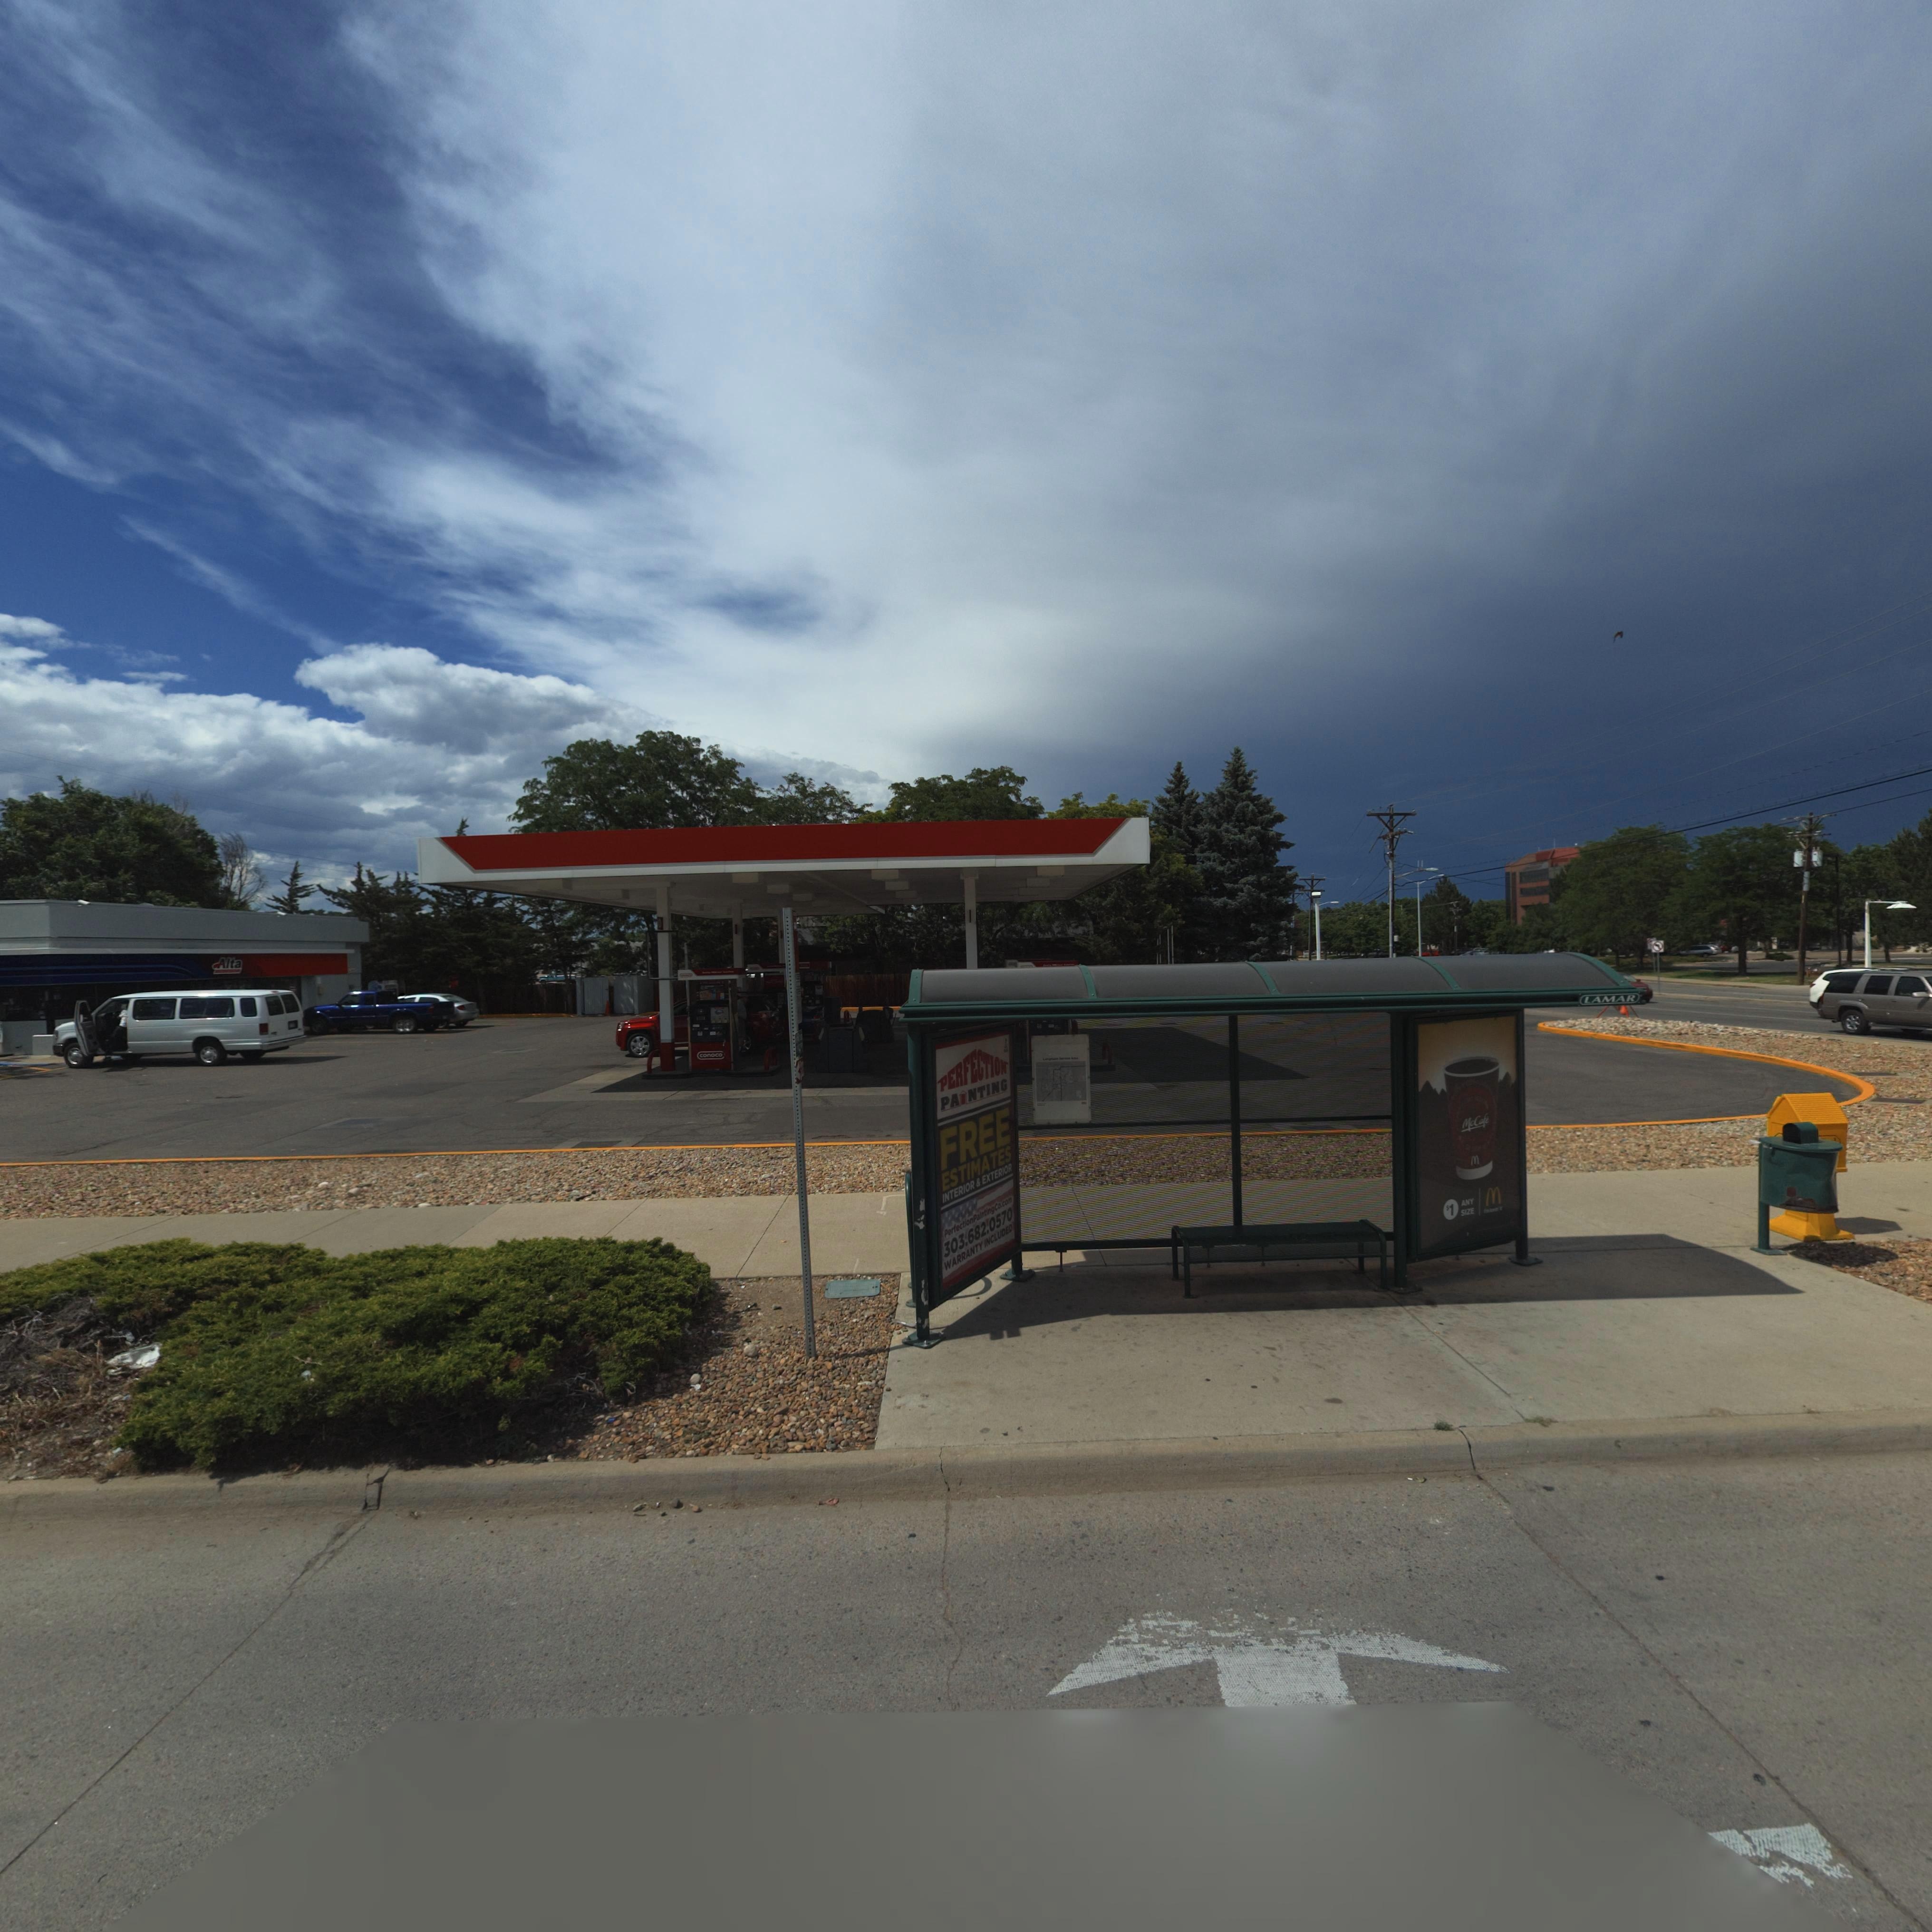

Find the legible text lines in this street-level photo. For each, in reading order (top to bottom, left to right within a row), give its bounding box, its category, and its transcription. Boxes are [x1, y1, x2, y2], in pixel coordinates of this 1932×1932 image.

[212, 957, 241, 968] BusinessName: Alta
[699, 1053, 723, 1058] BusinessName: conoco